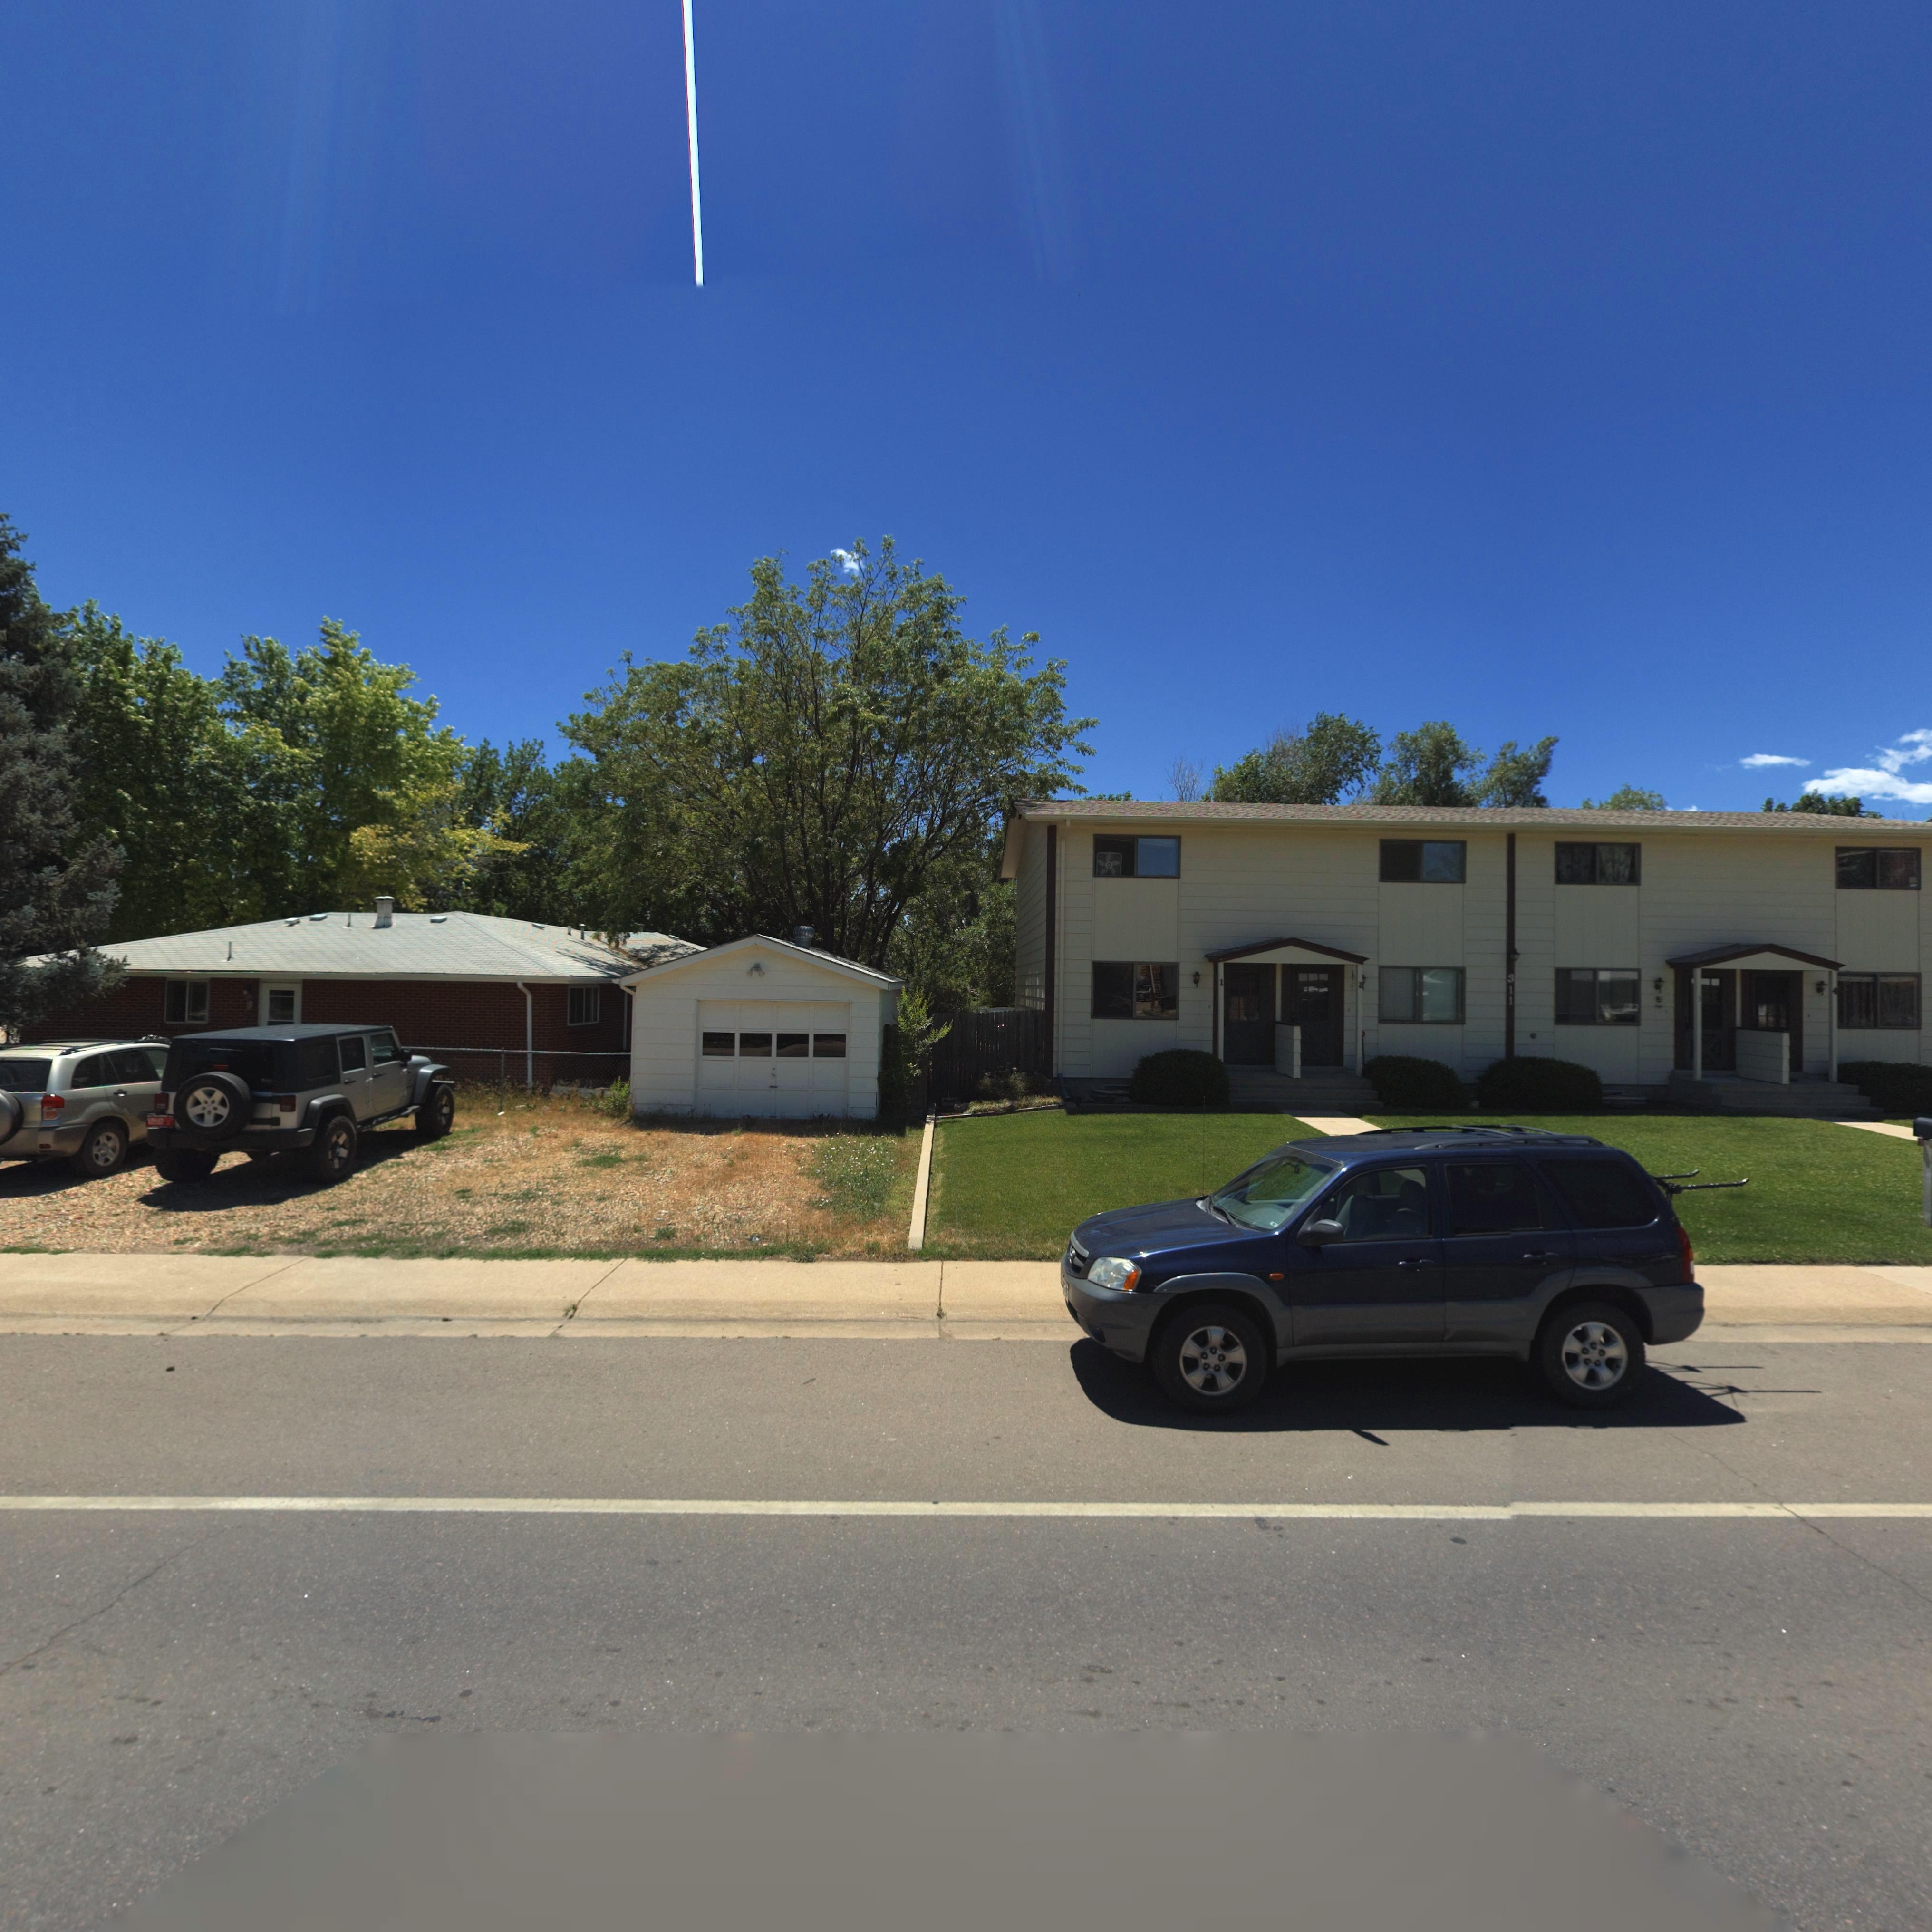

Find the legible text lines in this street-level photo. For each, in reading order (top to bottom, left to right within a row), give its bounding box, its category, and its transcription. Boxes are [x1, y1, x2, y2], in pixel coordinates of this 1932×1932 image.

[1220, 978, 1223, 986] StreetNumber: 1
[1358, 981, 1362, 988] StreetNumber: 2
[1507, 972, 1514, 1005] StreetNumber: 311
[1833, 987, 1837, 994] StreetNumber: 4
[1697, 995, 1701, 1002] StreetNumber: 3